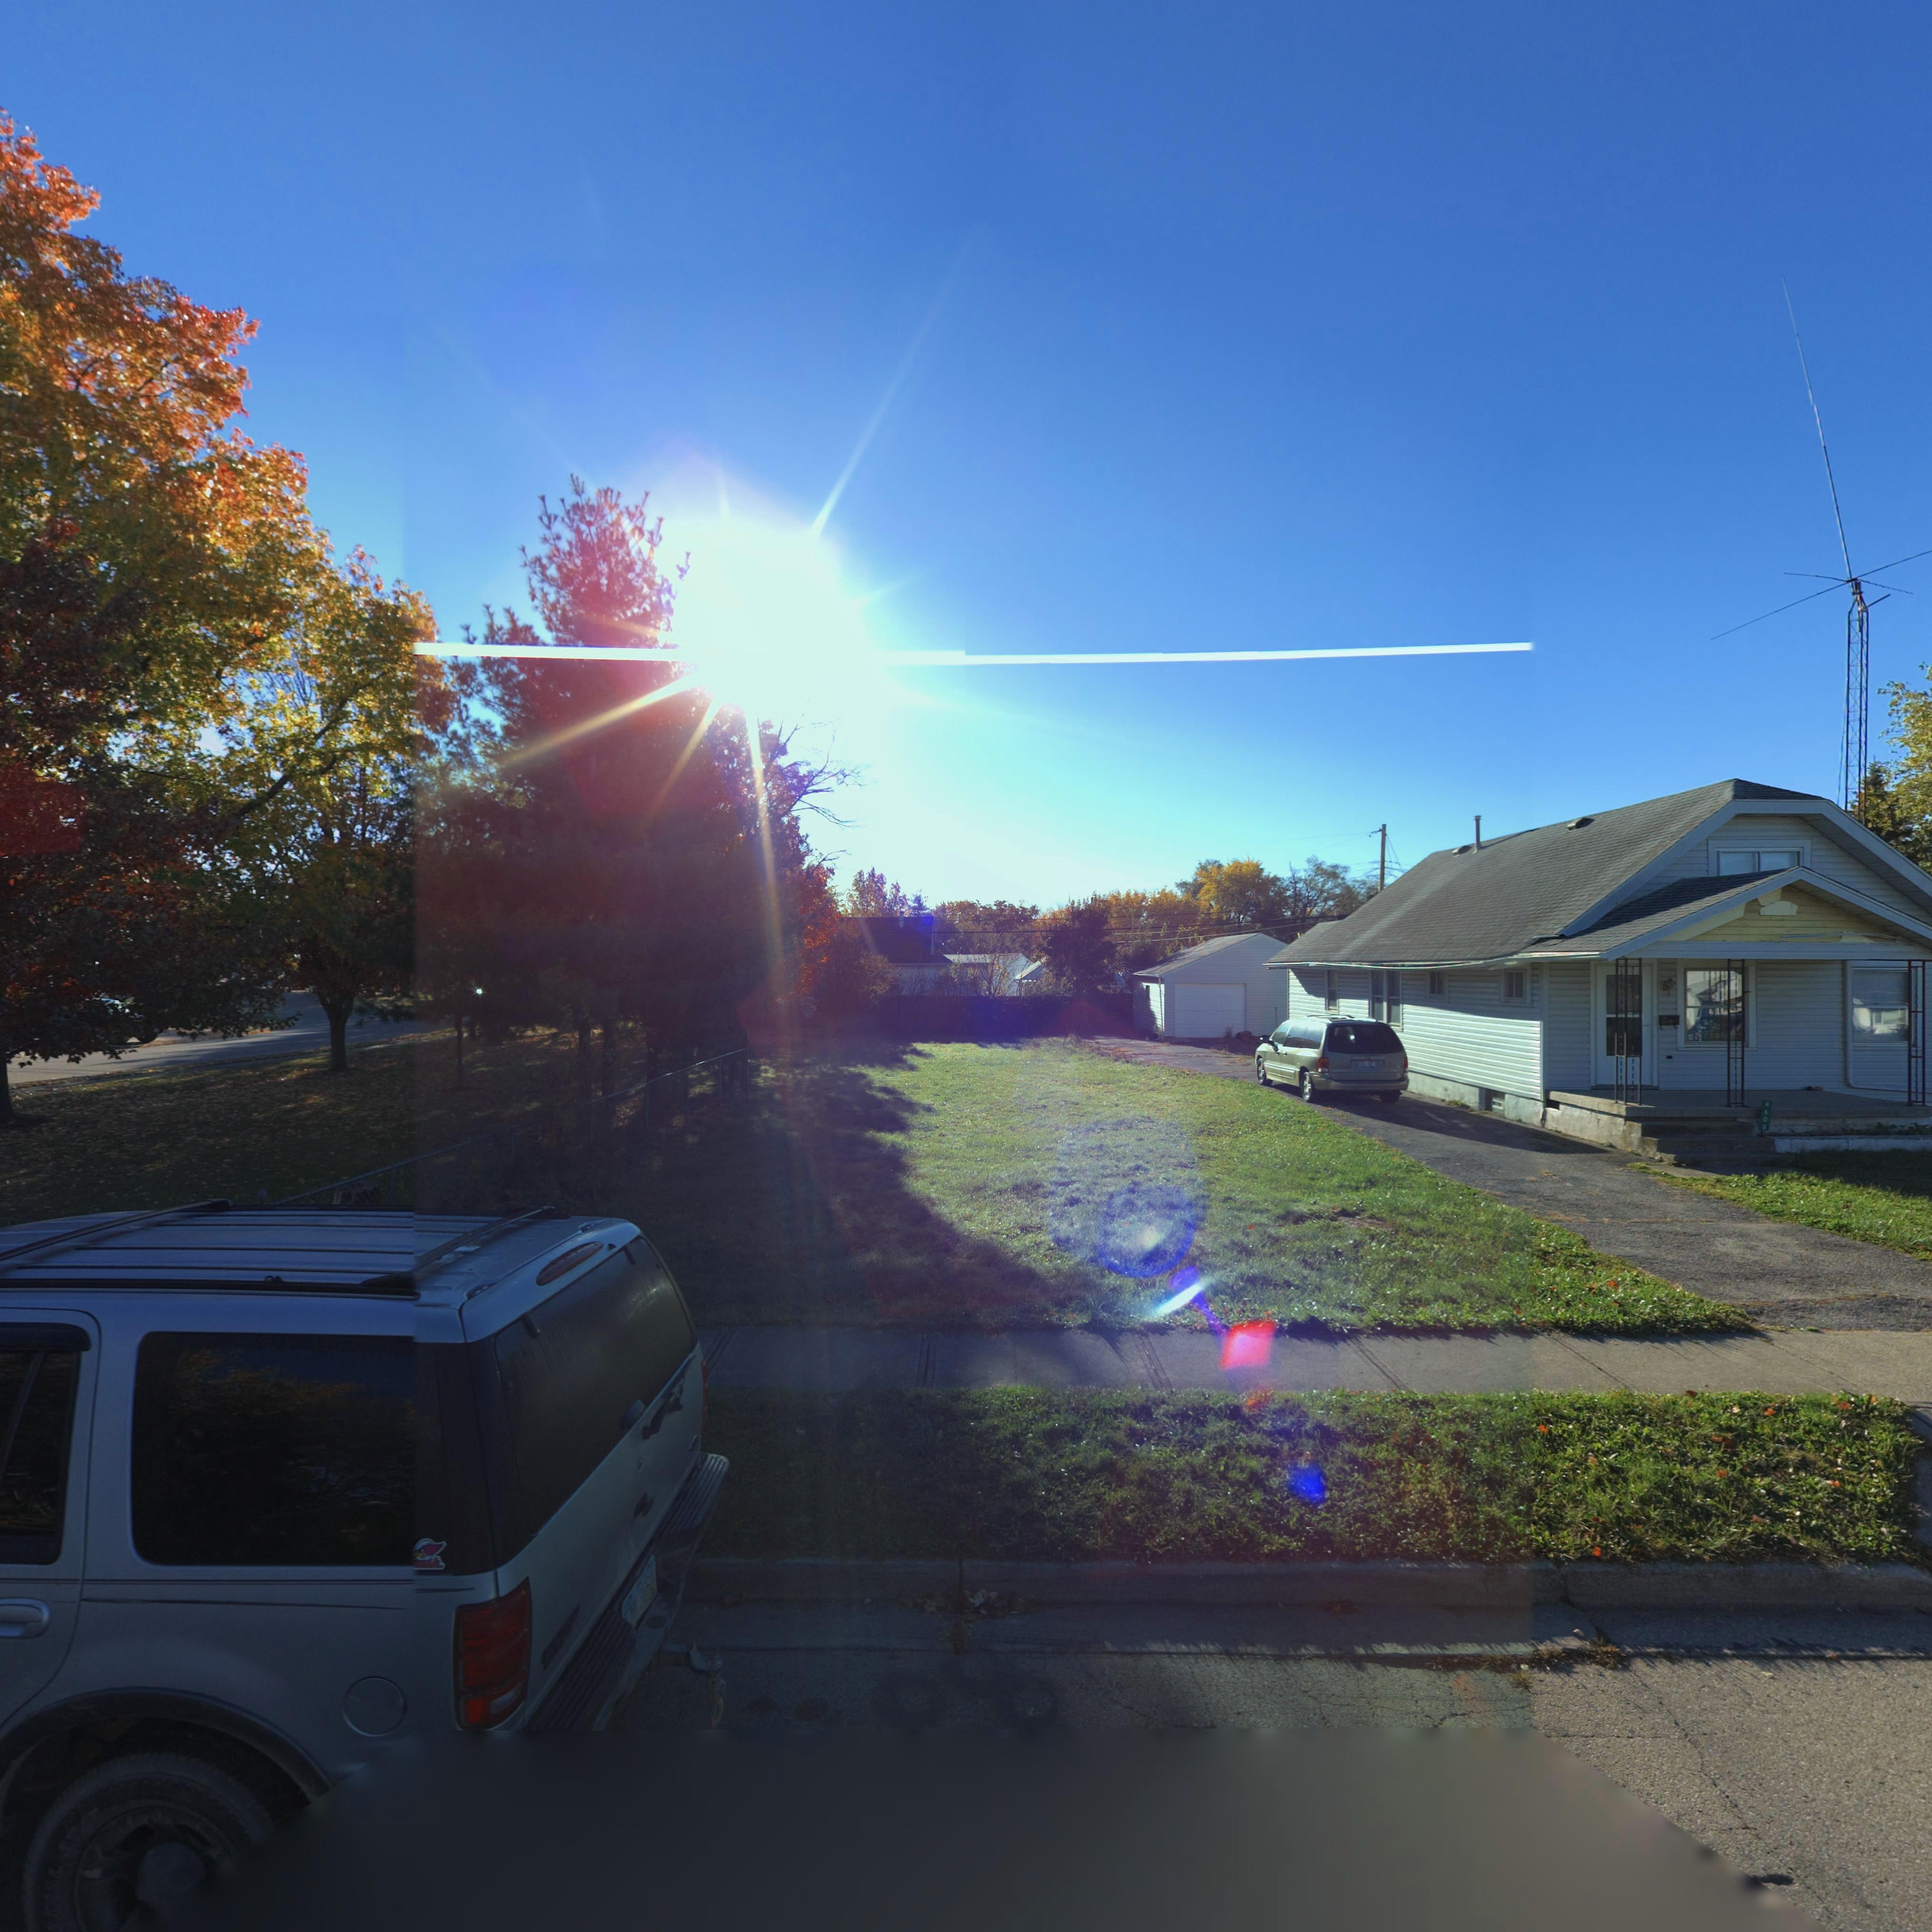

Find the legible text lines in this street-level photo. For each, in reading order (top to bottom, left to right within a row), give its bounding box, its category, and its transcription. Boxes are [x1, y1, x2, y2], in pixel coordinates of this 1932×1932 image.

[1761, 1100, 1771, 1131] StreetNumber: 4808